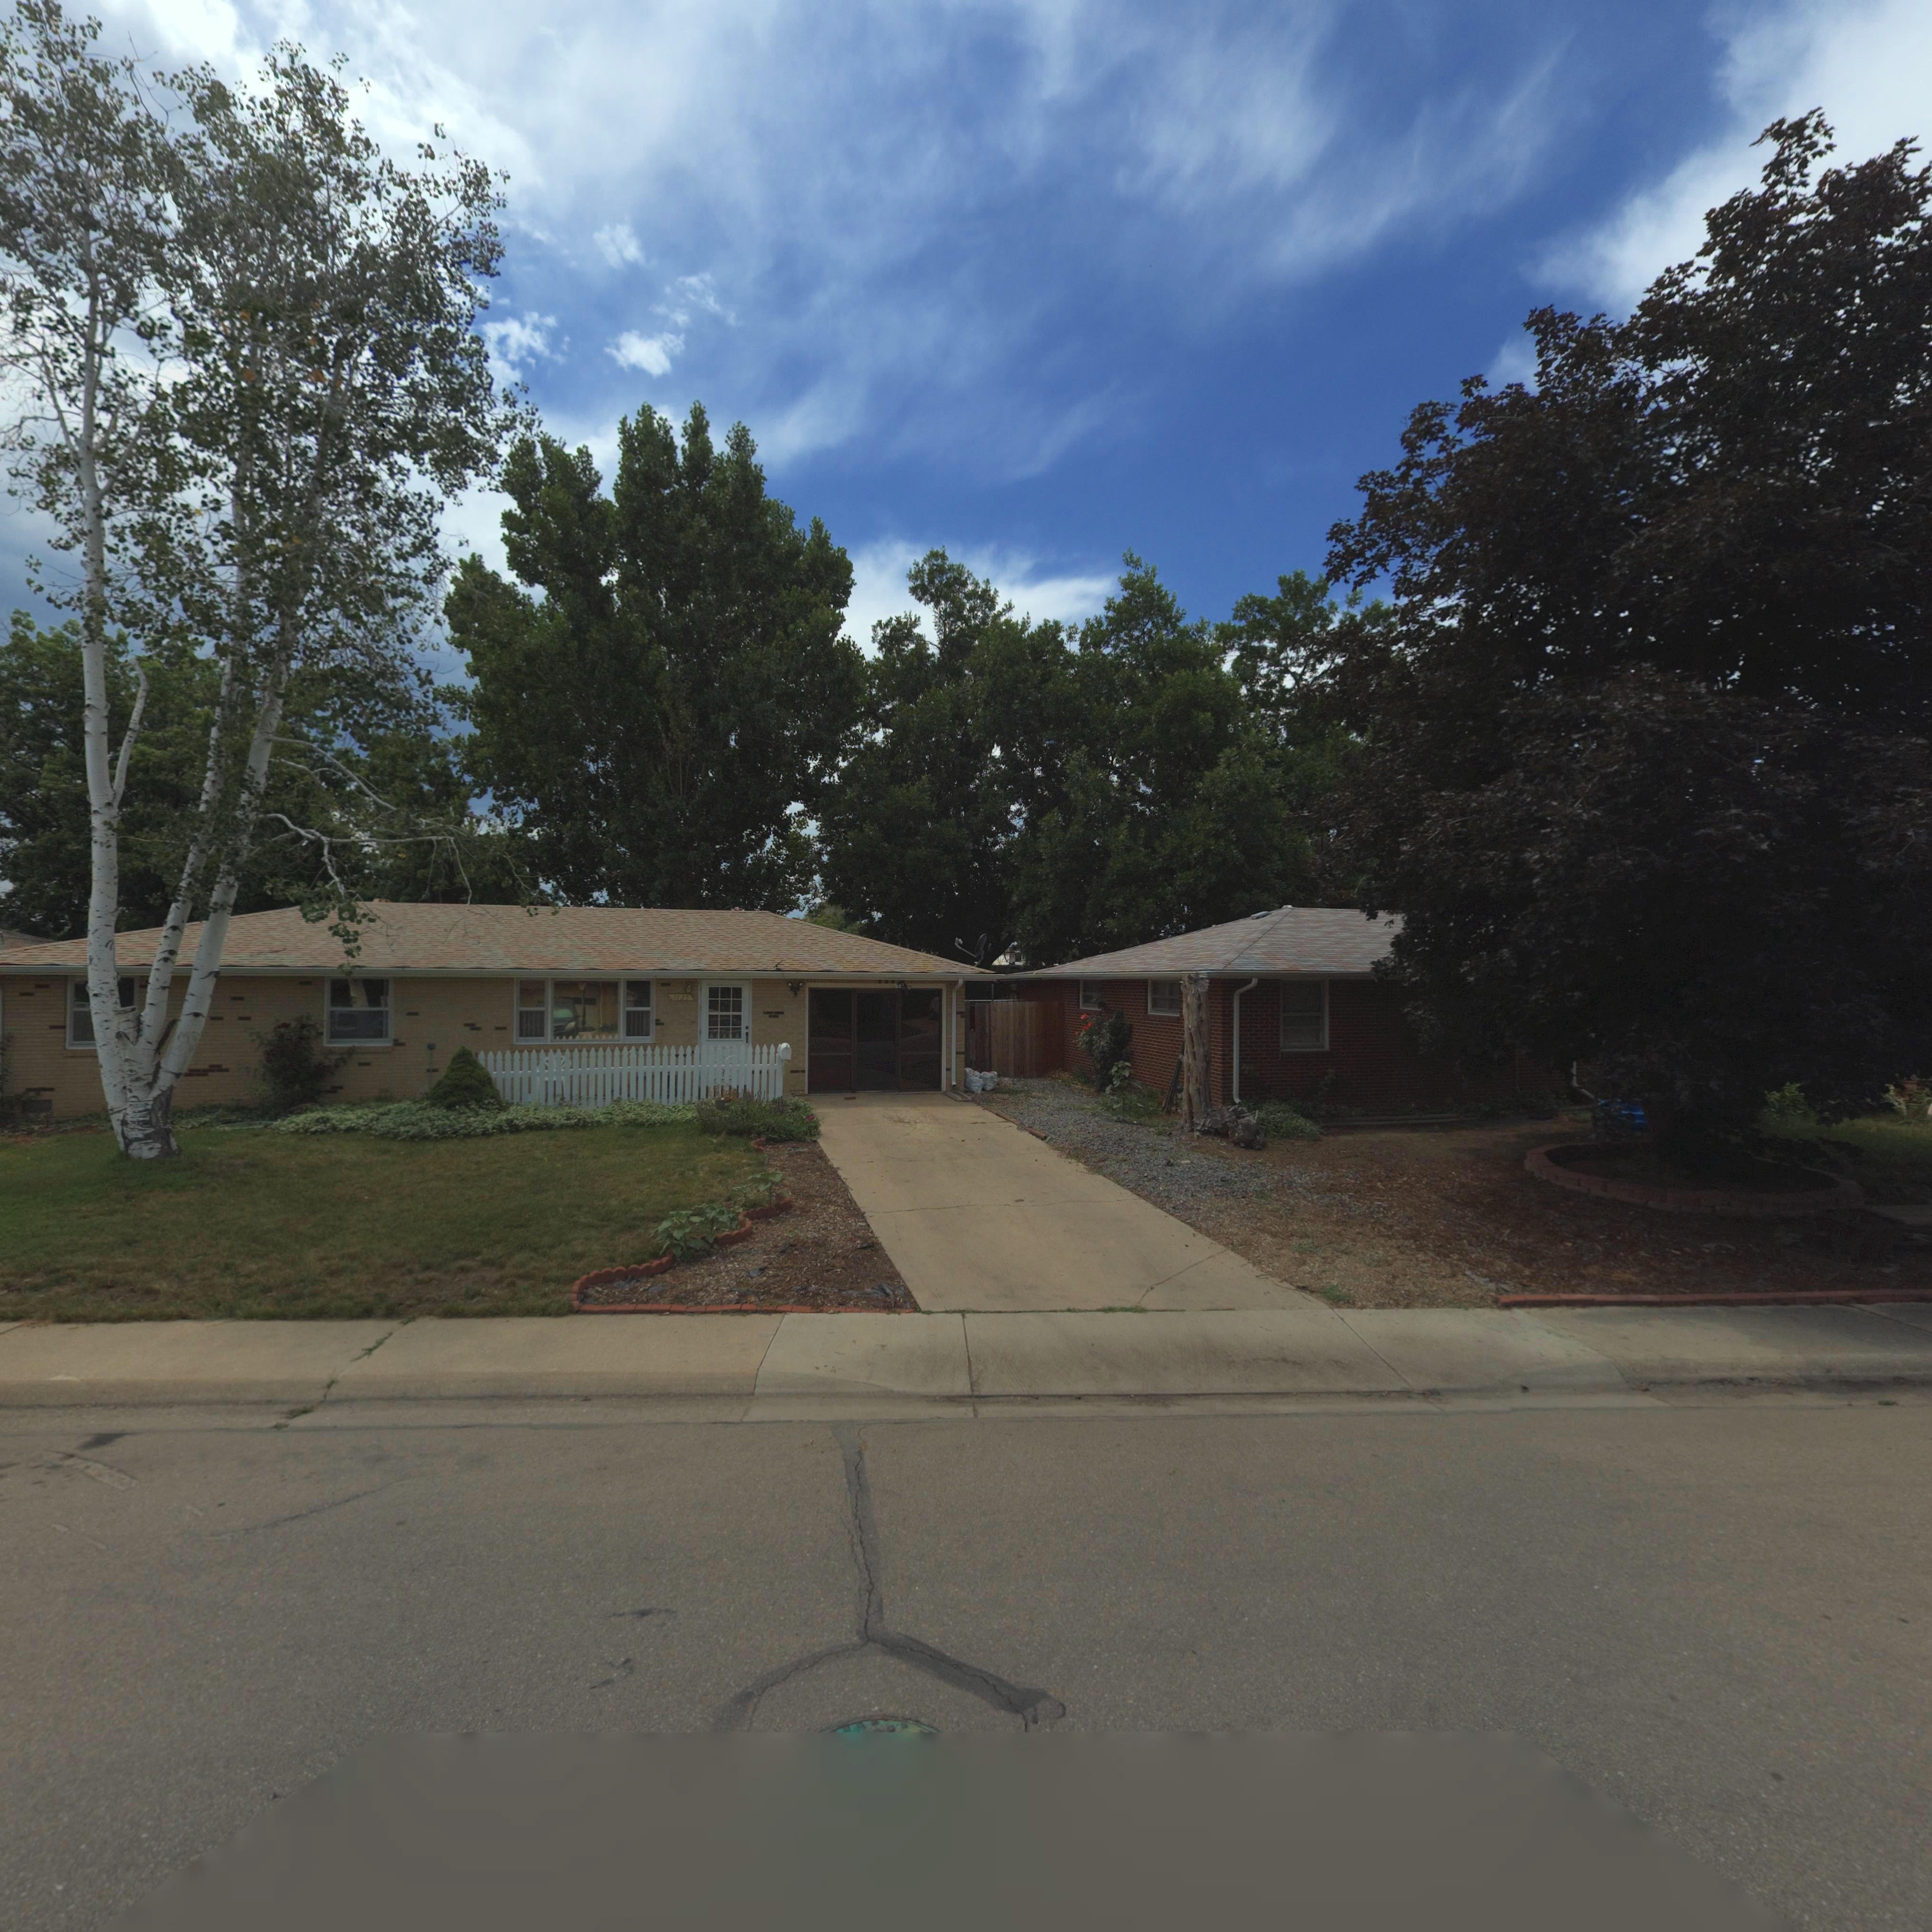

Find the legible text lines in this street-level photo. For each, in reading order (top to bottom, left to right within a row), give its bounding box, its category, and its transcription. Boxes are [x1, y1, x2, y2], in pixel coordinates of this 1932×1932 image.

[673, 994, 689, 1000] StreetNumber: 1135